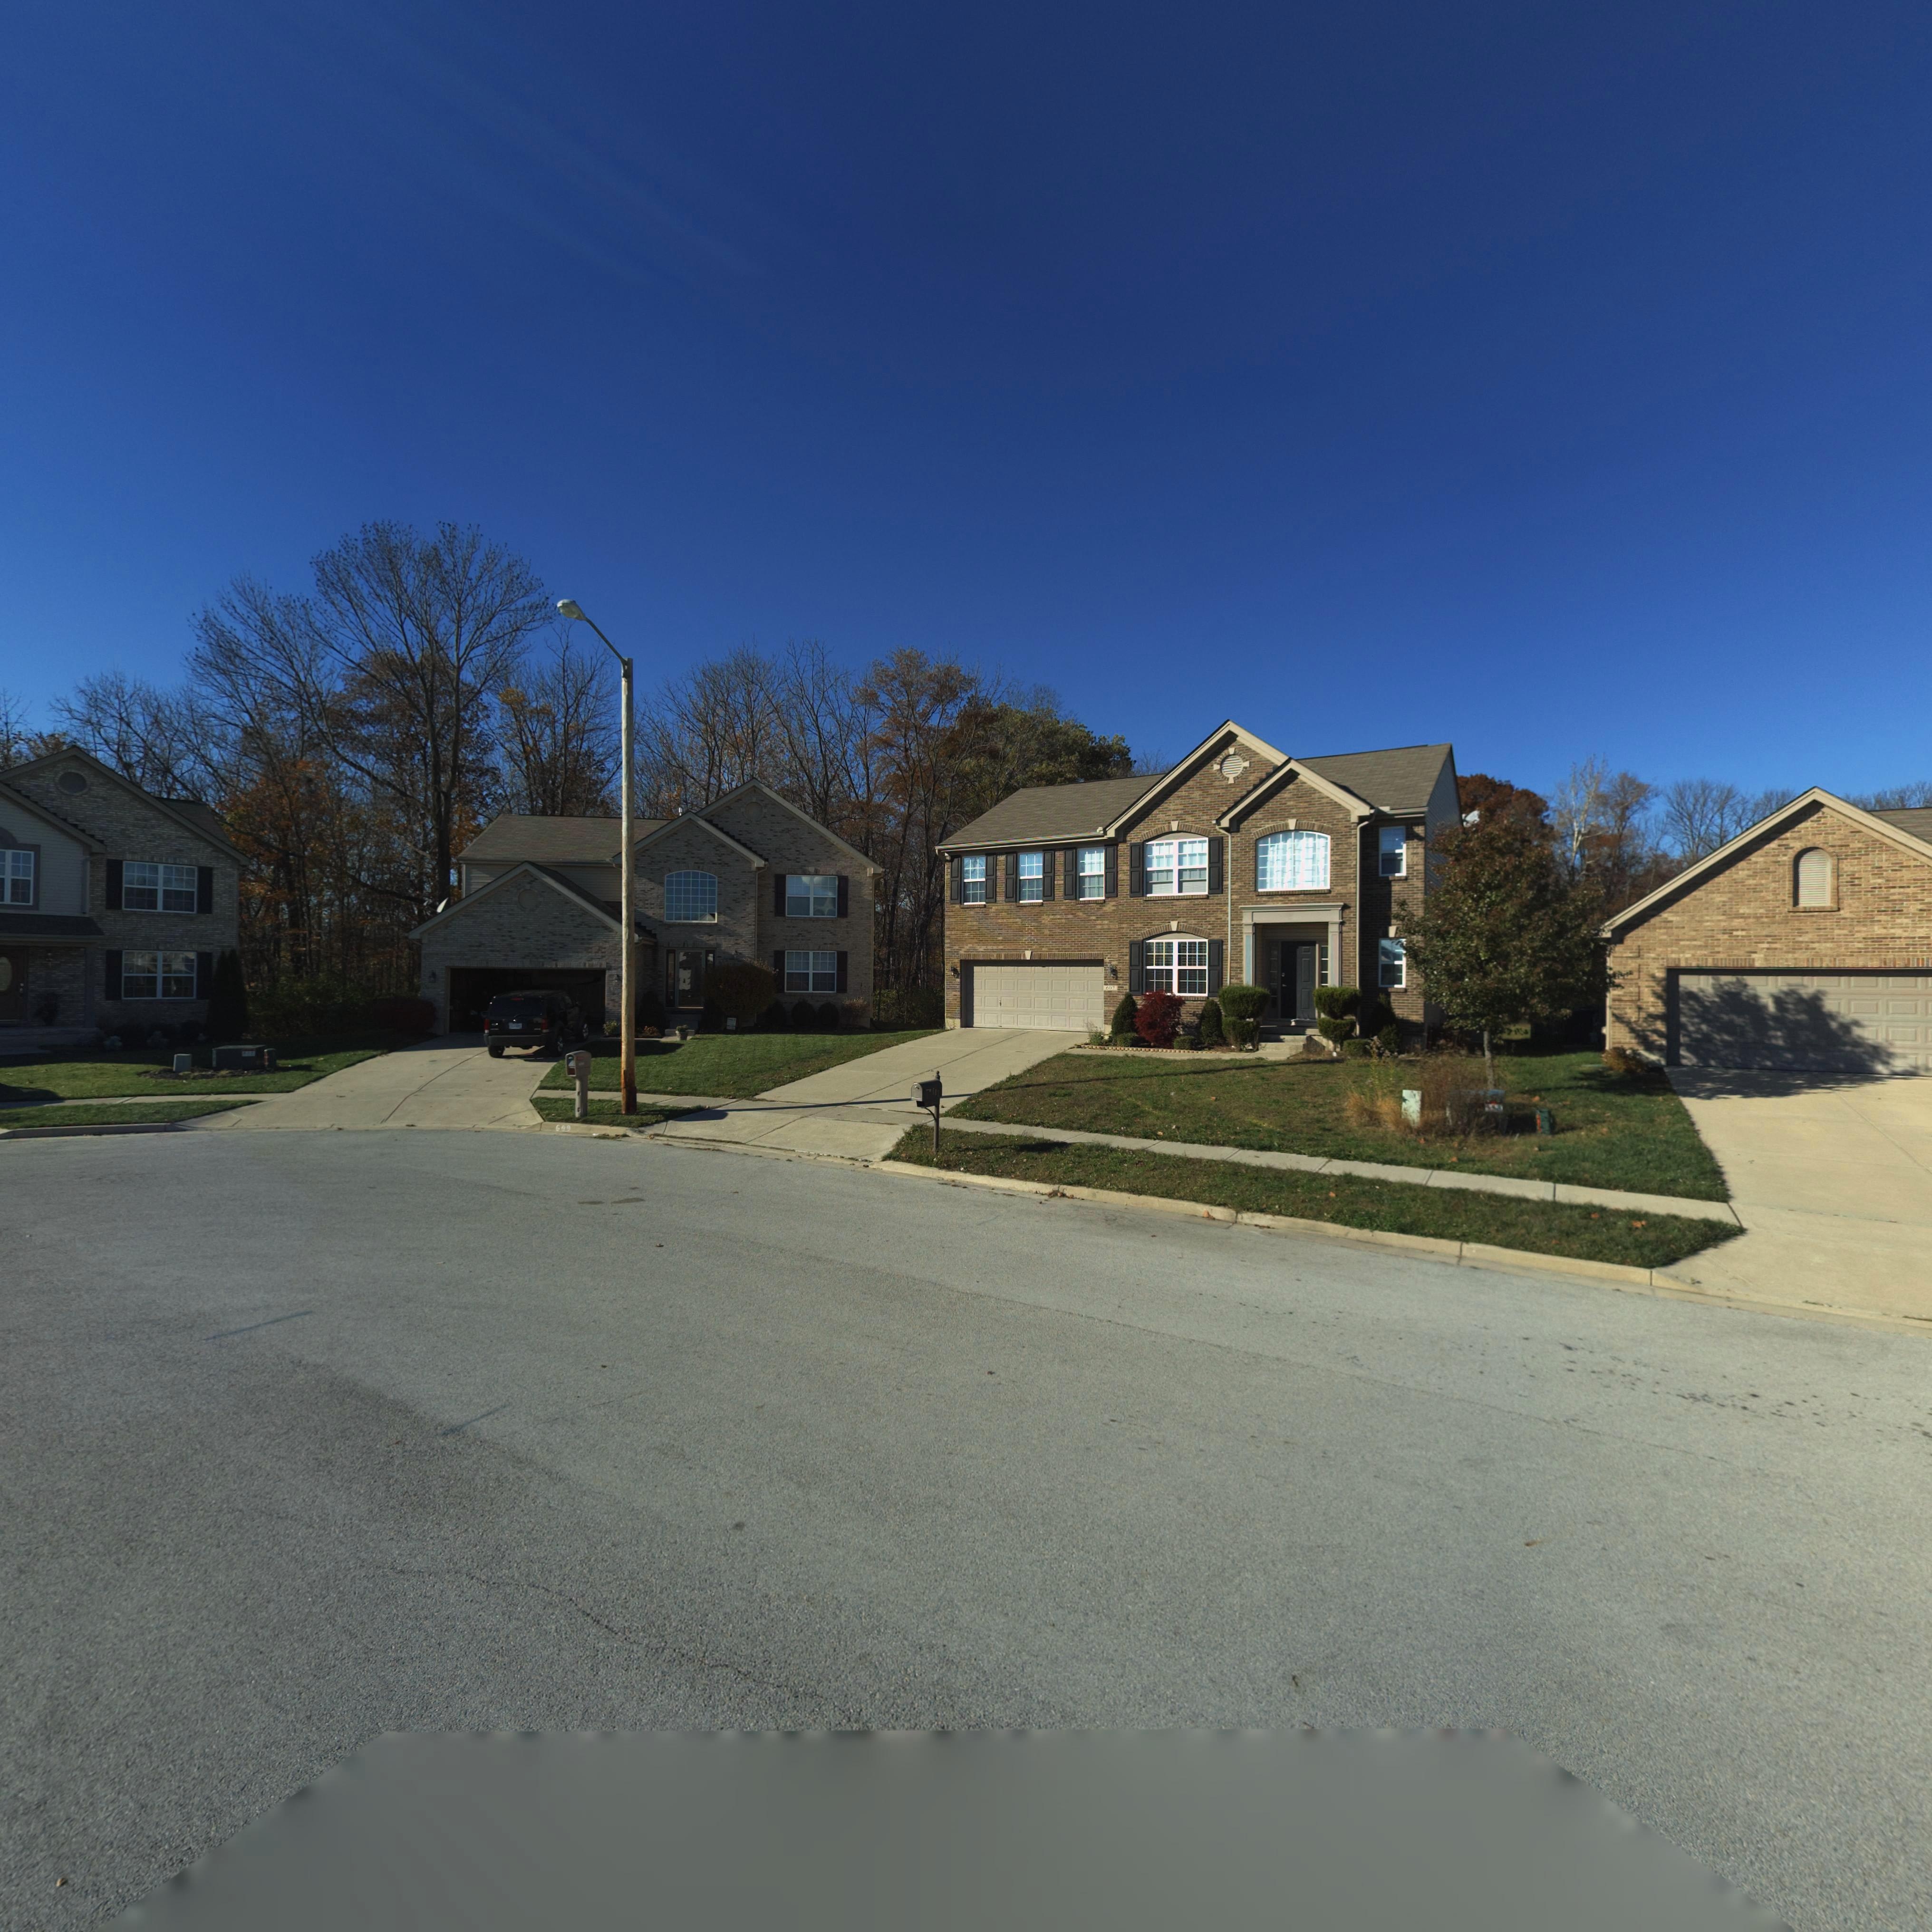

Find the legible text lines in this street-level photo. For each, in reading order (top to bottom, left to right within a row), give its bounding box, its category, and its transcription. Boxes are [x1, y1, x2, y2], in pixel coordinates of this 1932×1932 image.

[1105, 985, 1116, 991] StreetNumber: 607
[931, 1087, 940, 1097] StreetNumber: 607
[555, 1124, 571, 1133] StreetNumber: 609